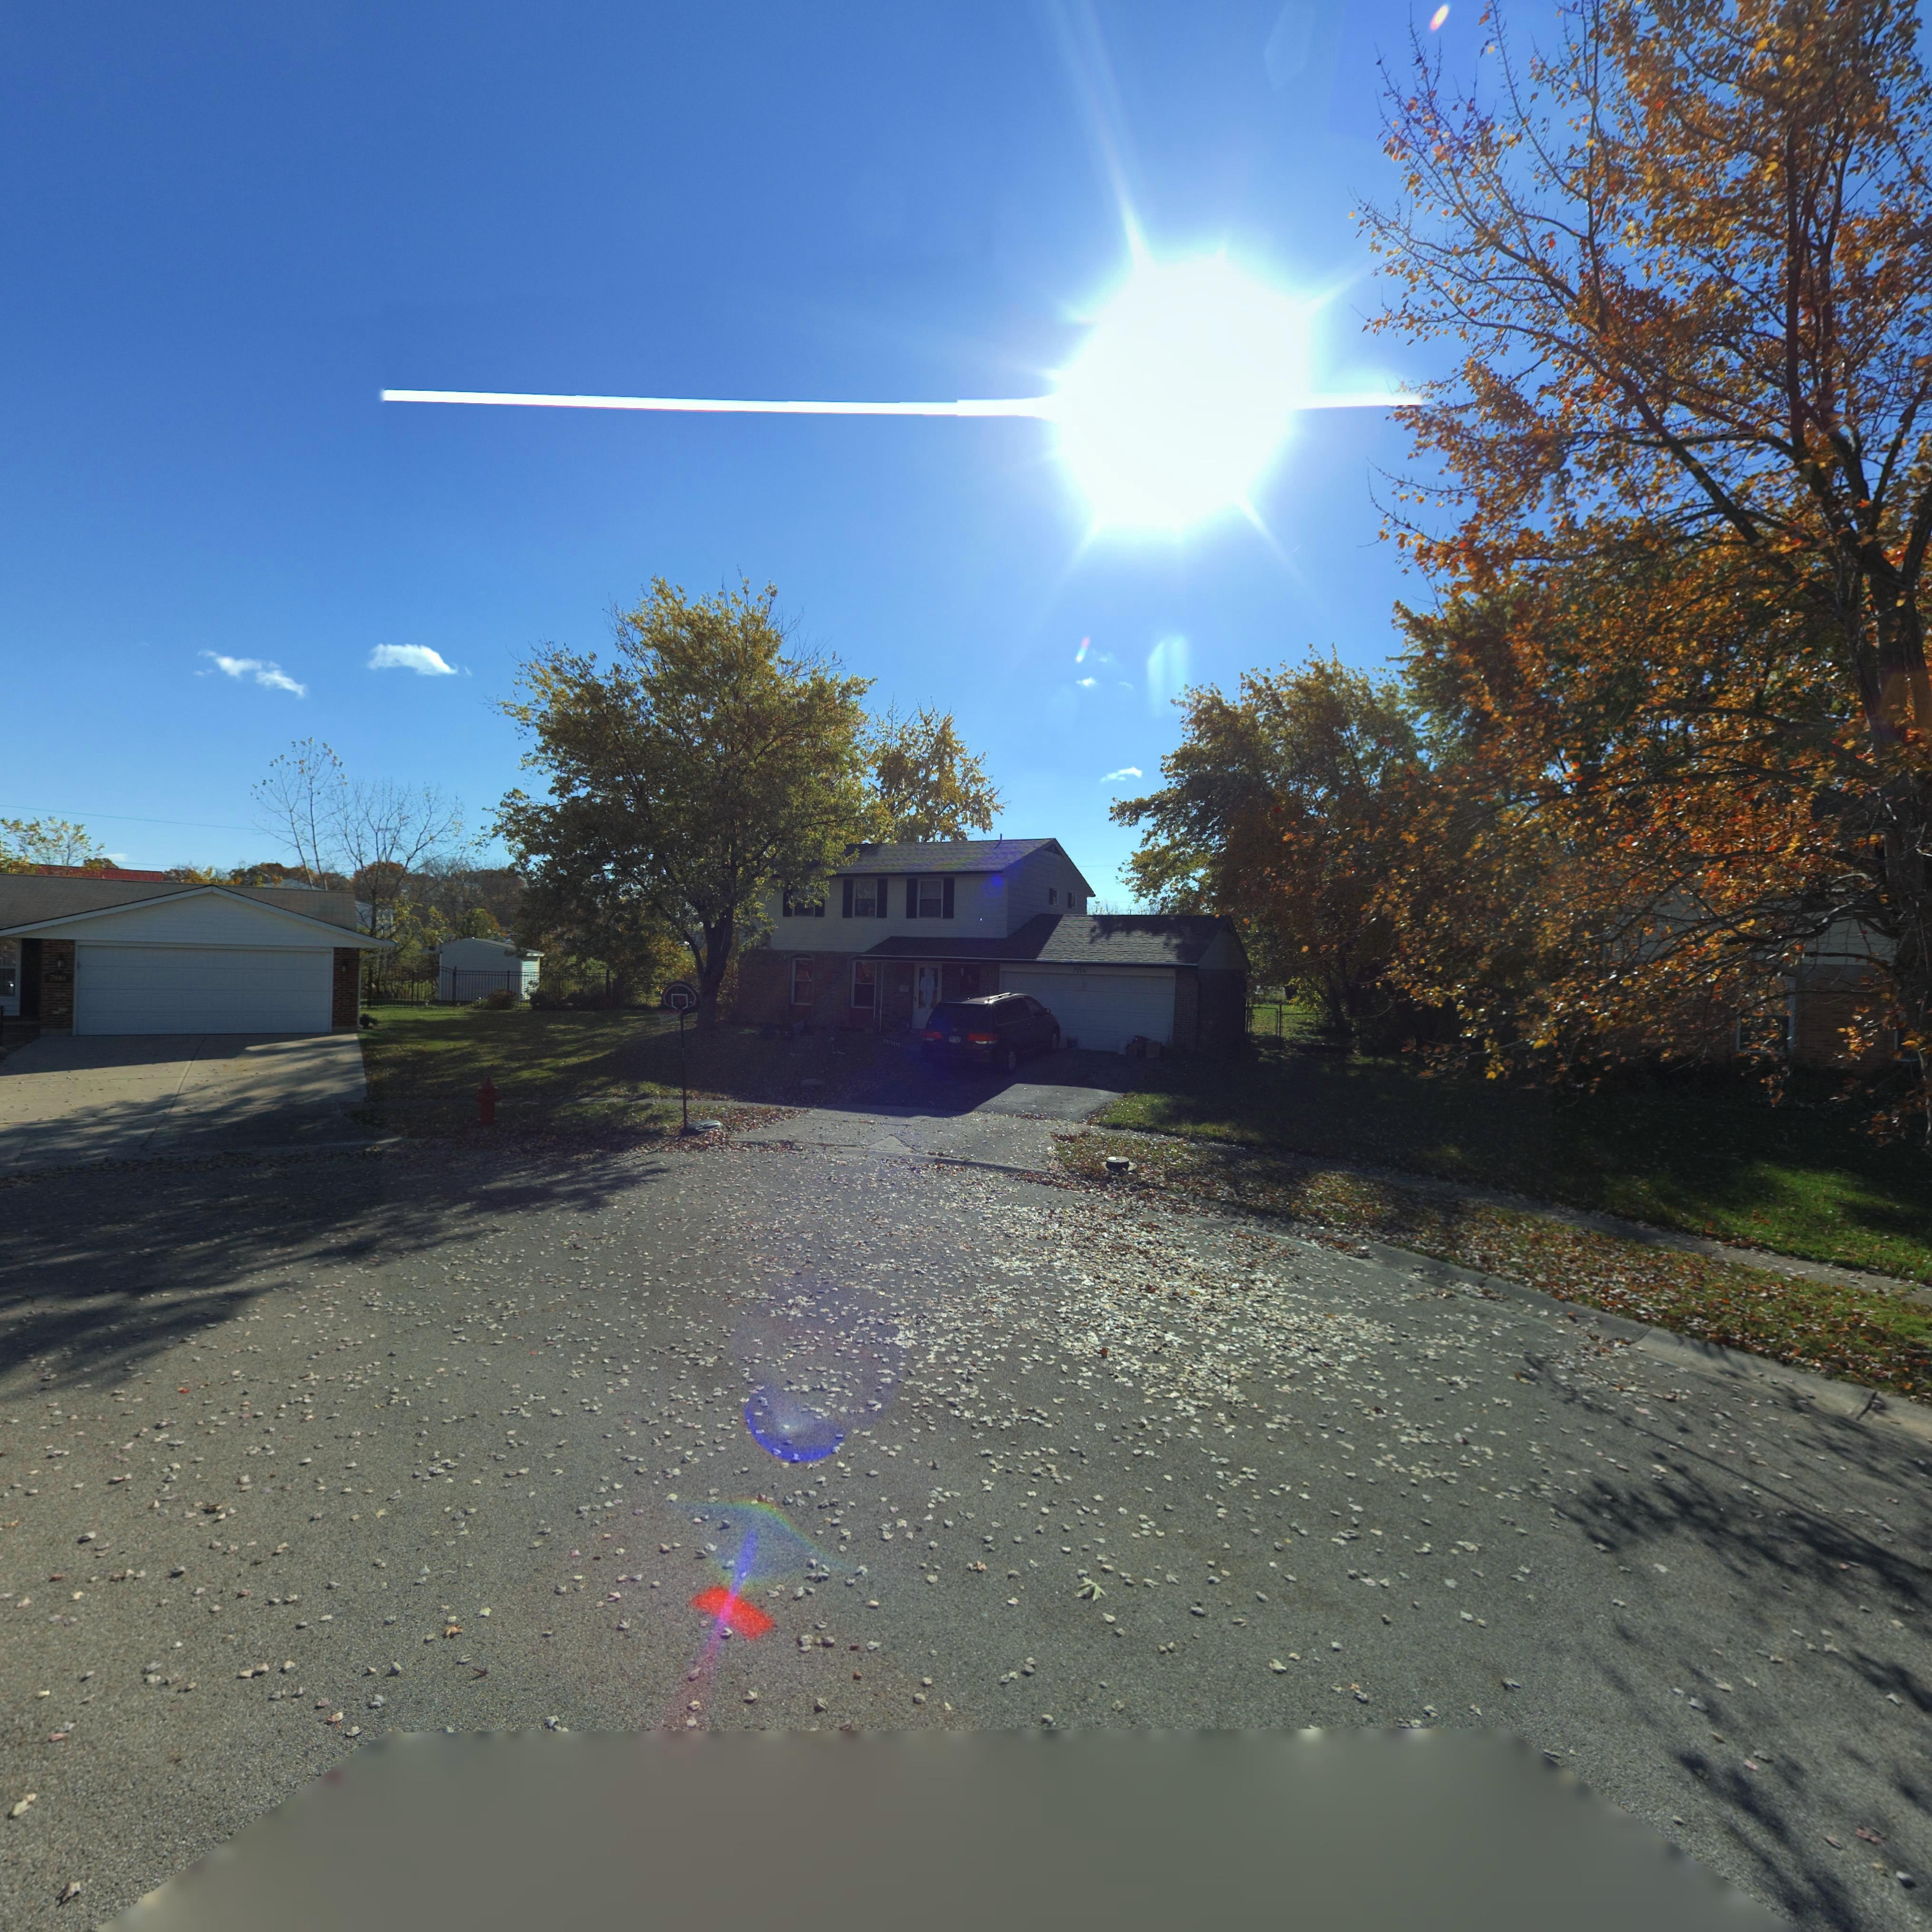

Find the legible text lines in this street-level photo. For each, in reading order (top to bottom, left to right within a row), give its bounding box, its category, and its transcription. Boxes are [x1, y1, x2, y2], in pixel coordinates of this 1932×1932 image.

[1082, 968, 1086, 974] StreetNumber: 0
[49, 974, 67, 982] StreetNumber: 7040